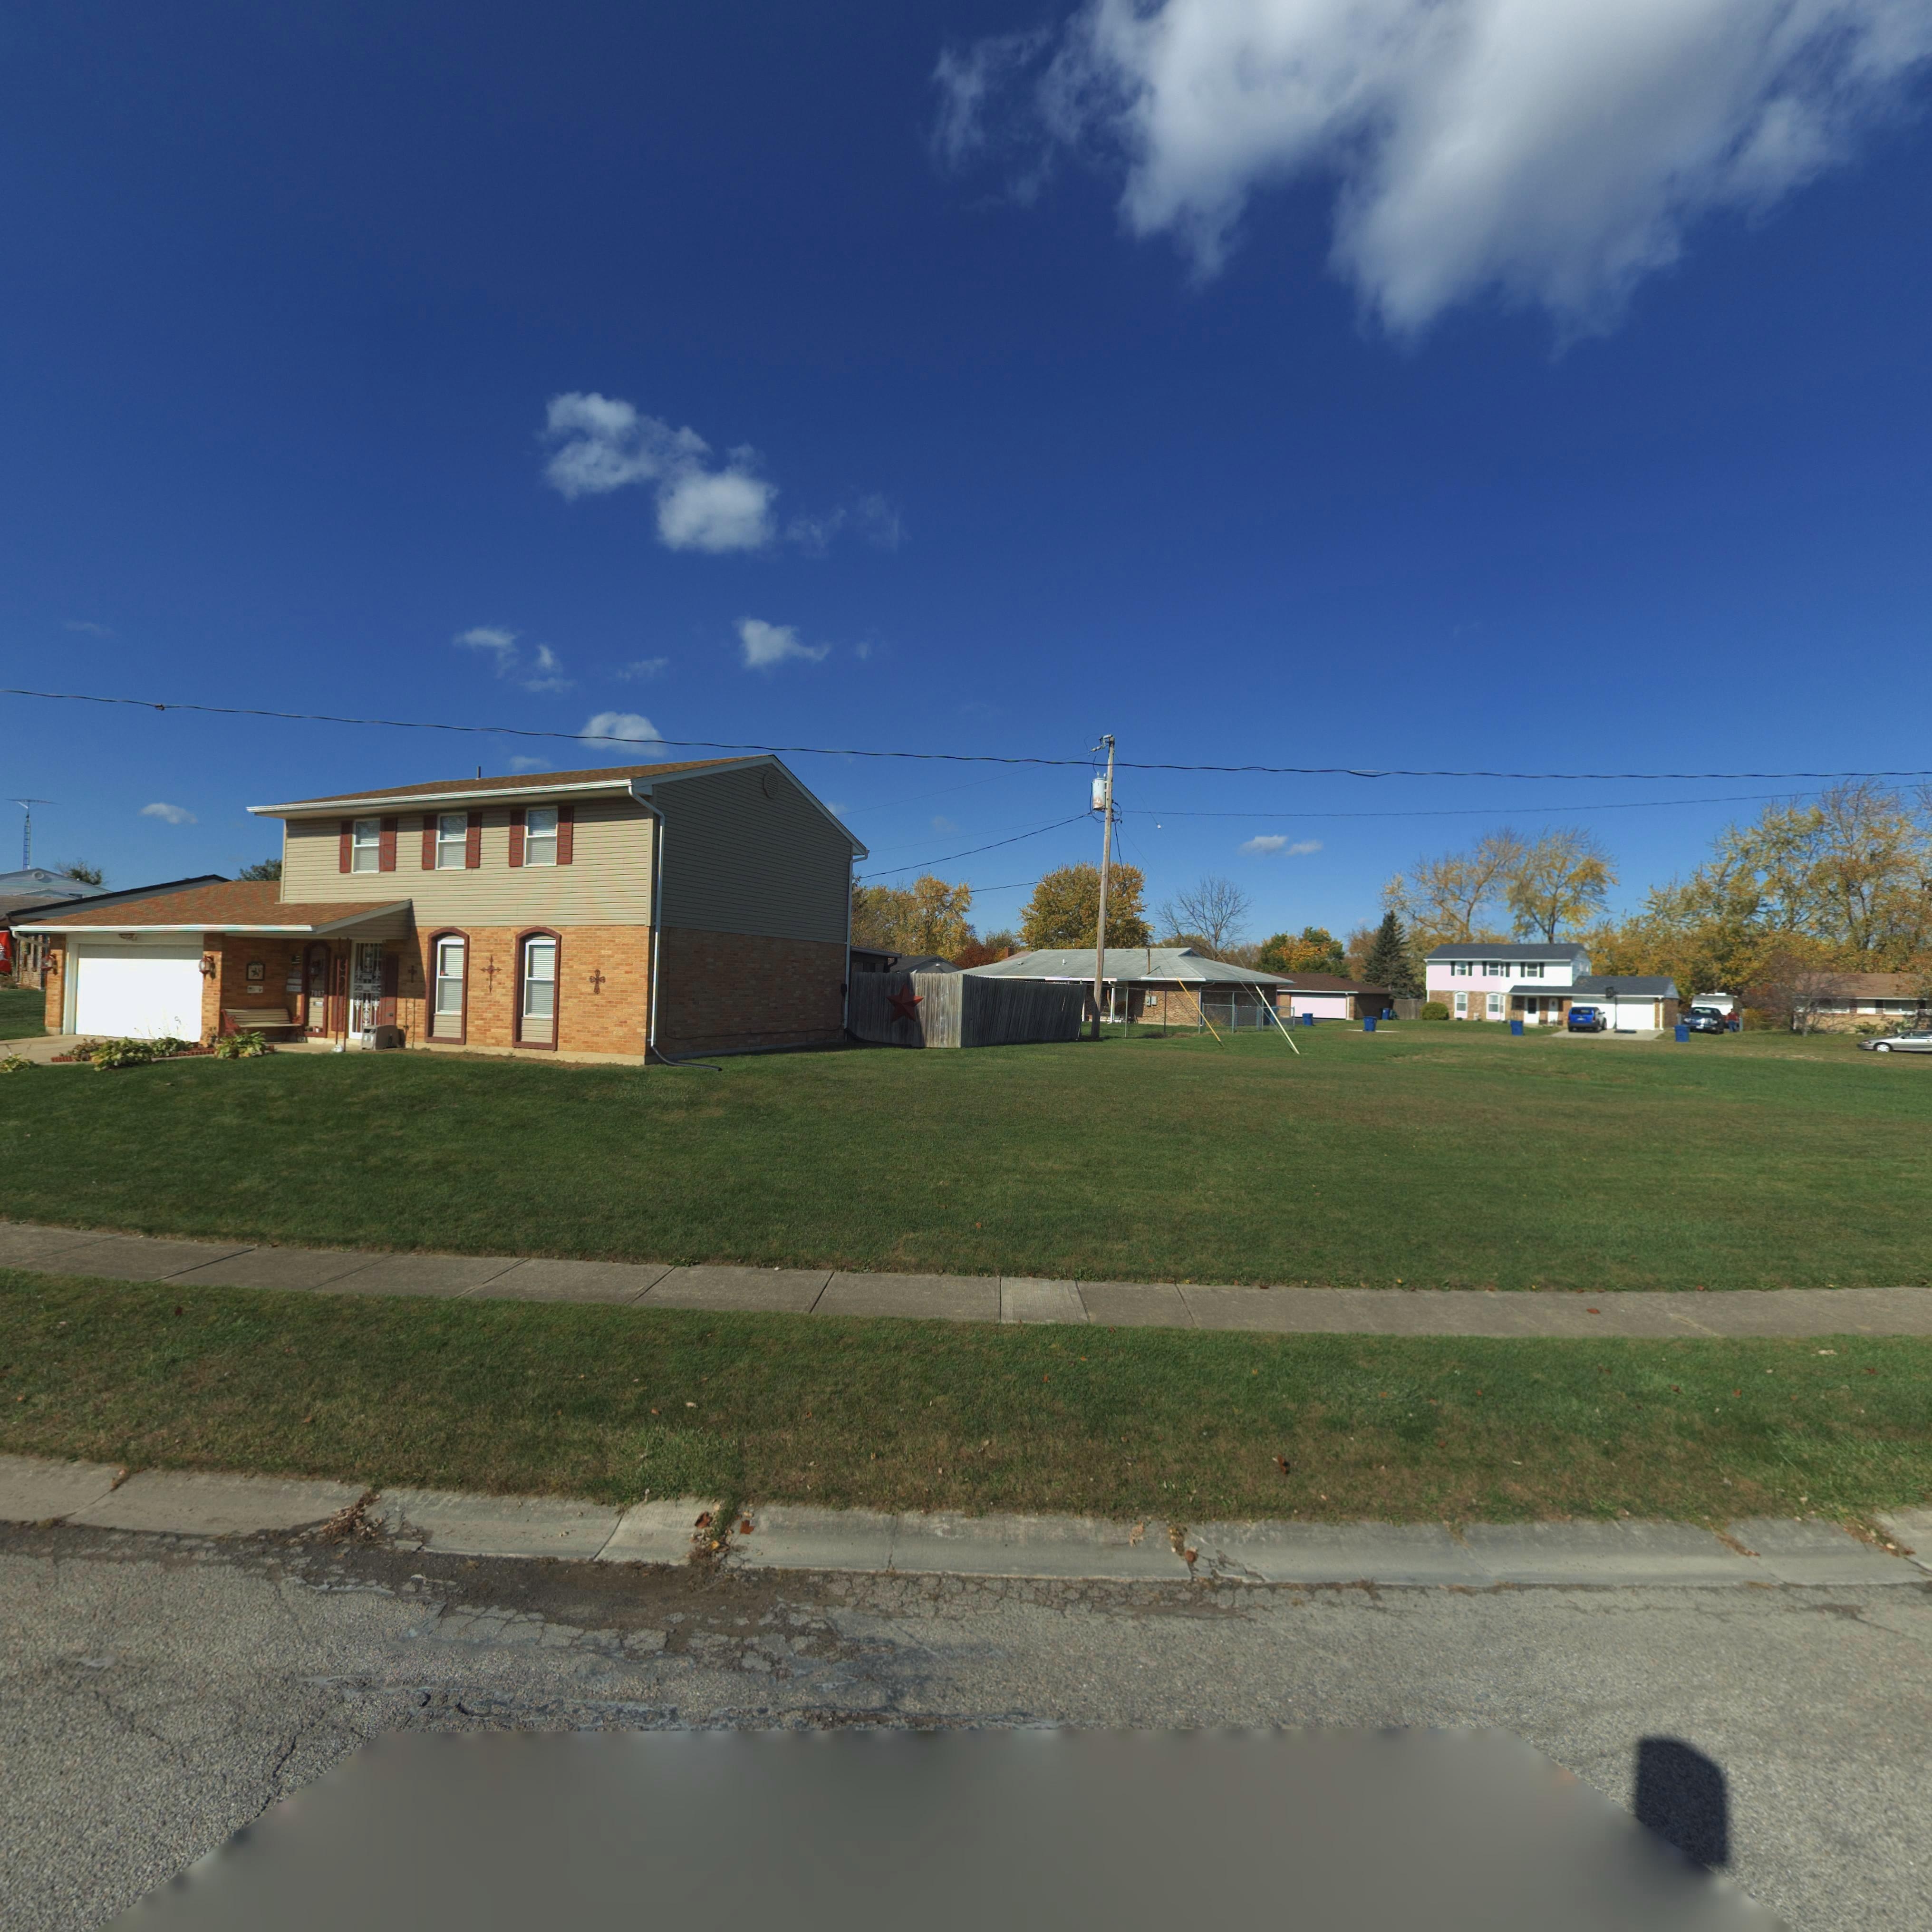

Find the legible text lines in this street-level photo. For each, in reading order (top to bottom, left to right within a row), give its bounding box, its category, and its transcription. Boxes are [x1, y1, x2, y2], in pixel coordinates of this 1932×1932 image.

[309, 989, 325, 998] StreetNumber: 7067